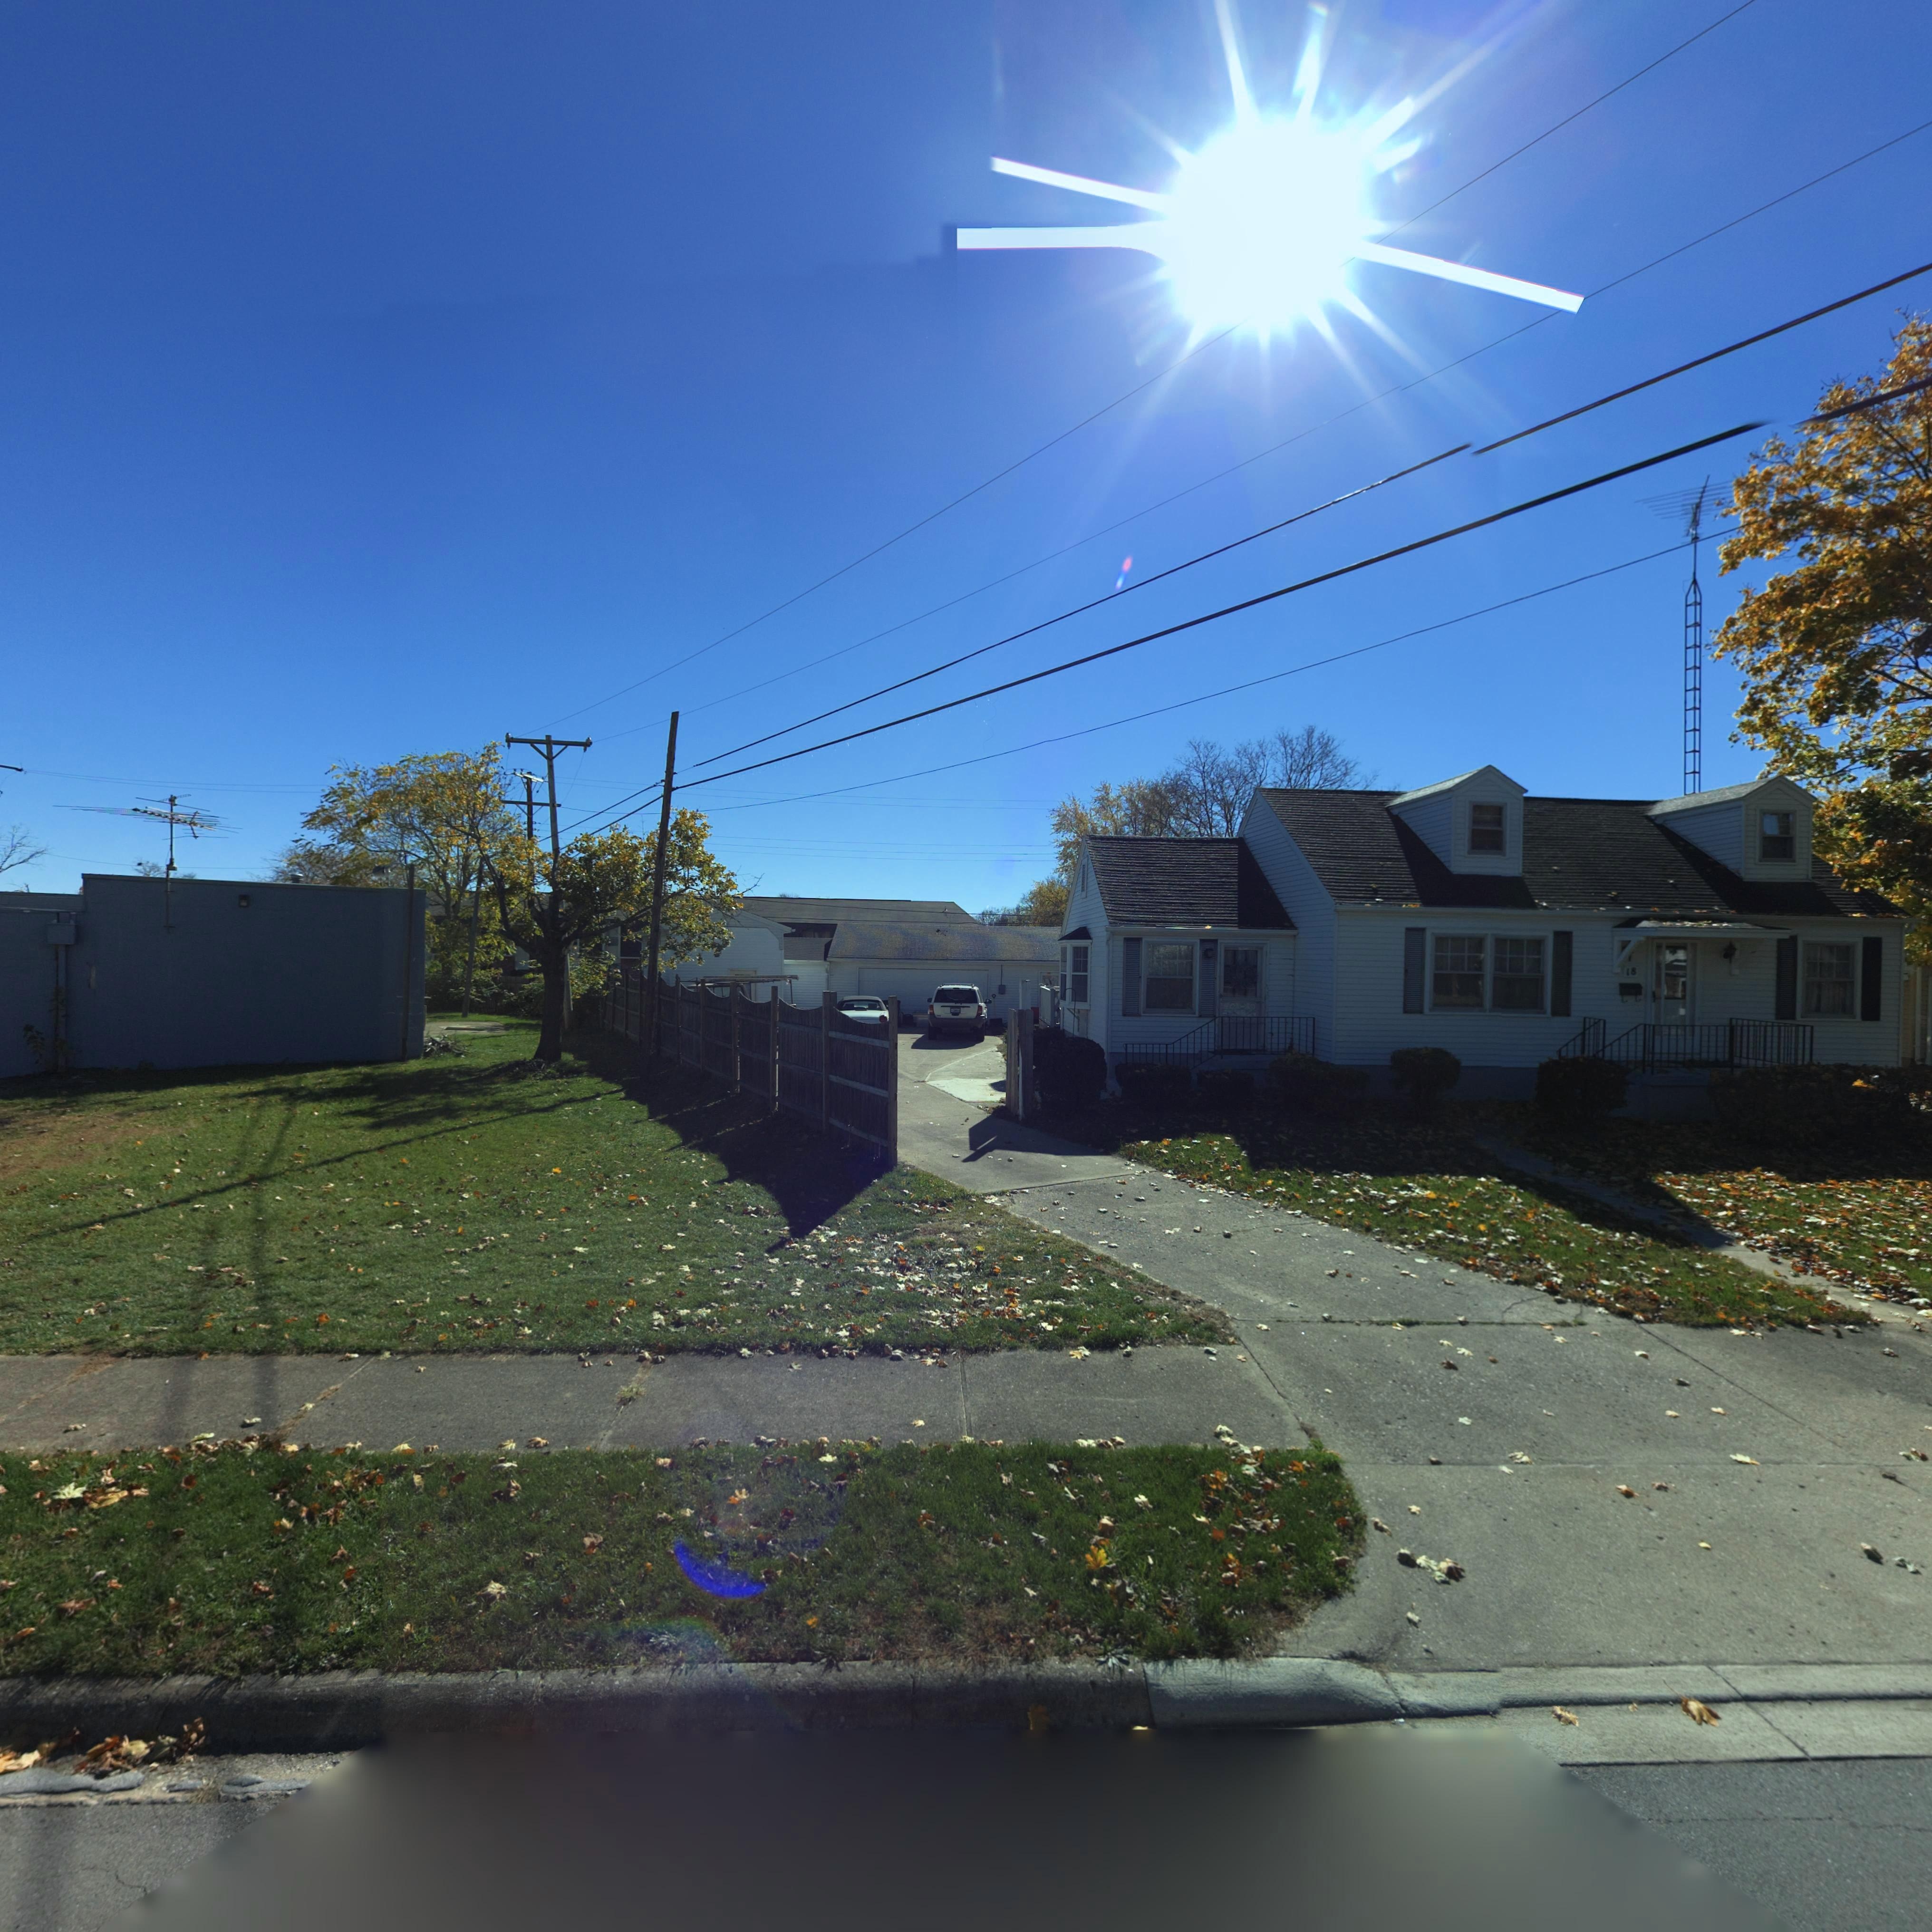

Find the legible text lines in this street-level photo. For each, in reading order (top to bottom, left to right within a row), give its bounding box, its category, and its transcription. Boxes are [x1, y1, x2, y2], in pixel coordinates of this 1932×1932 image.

[1625, 965, 1638, 977] StreetNumber: 18